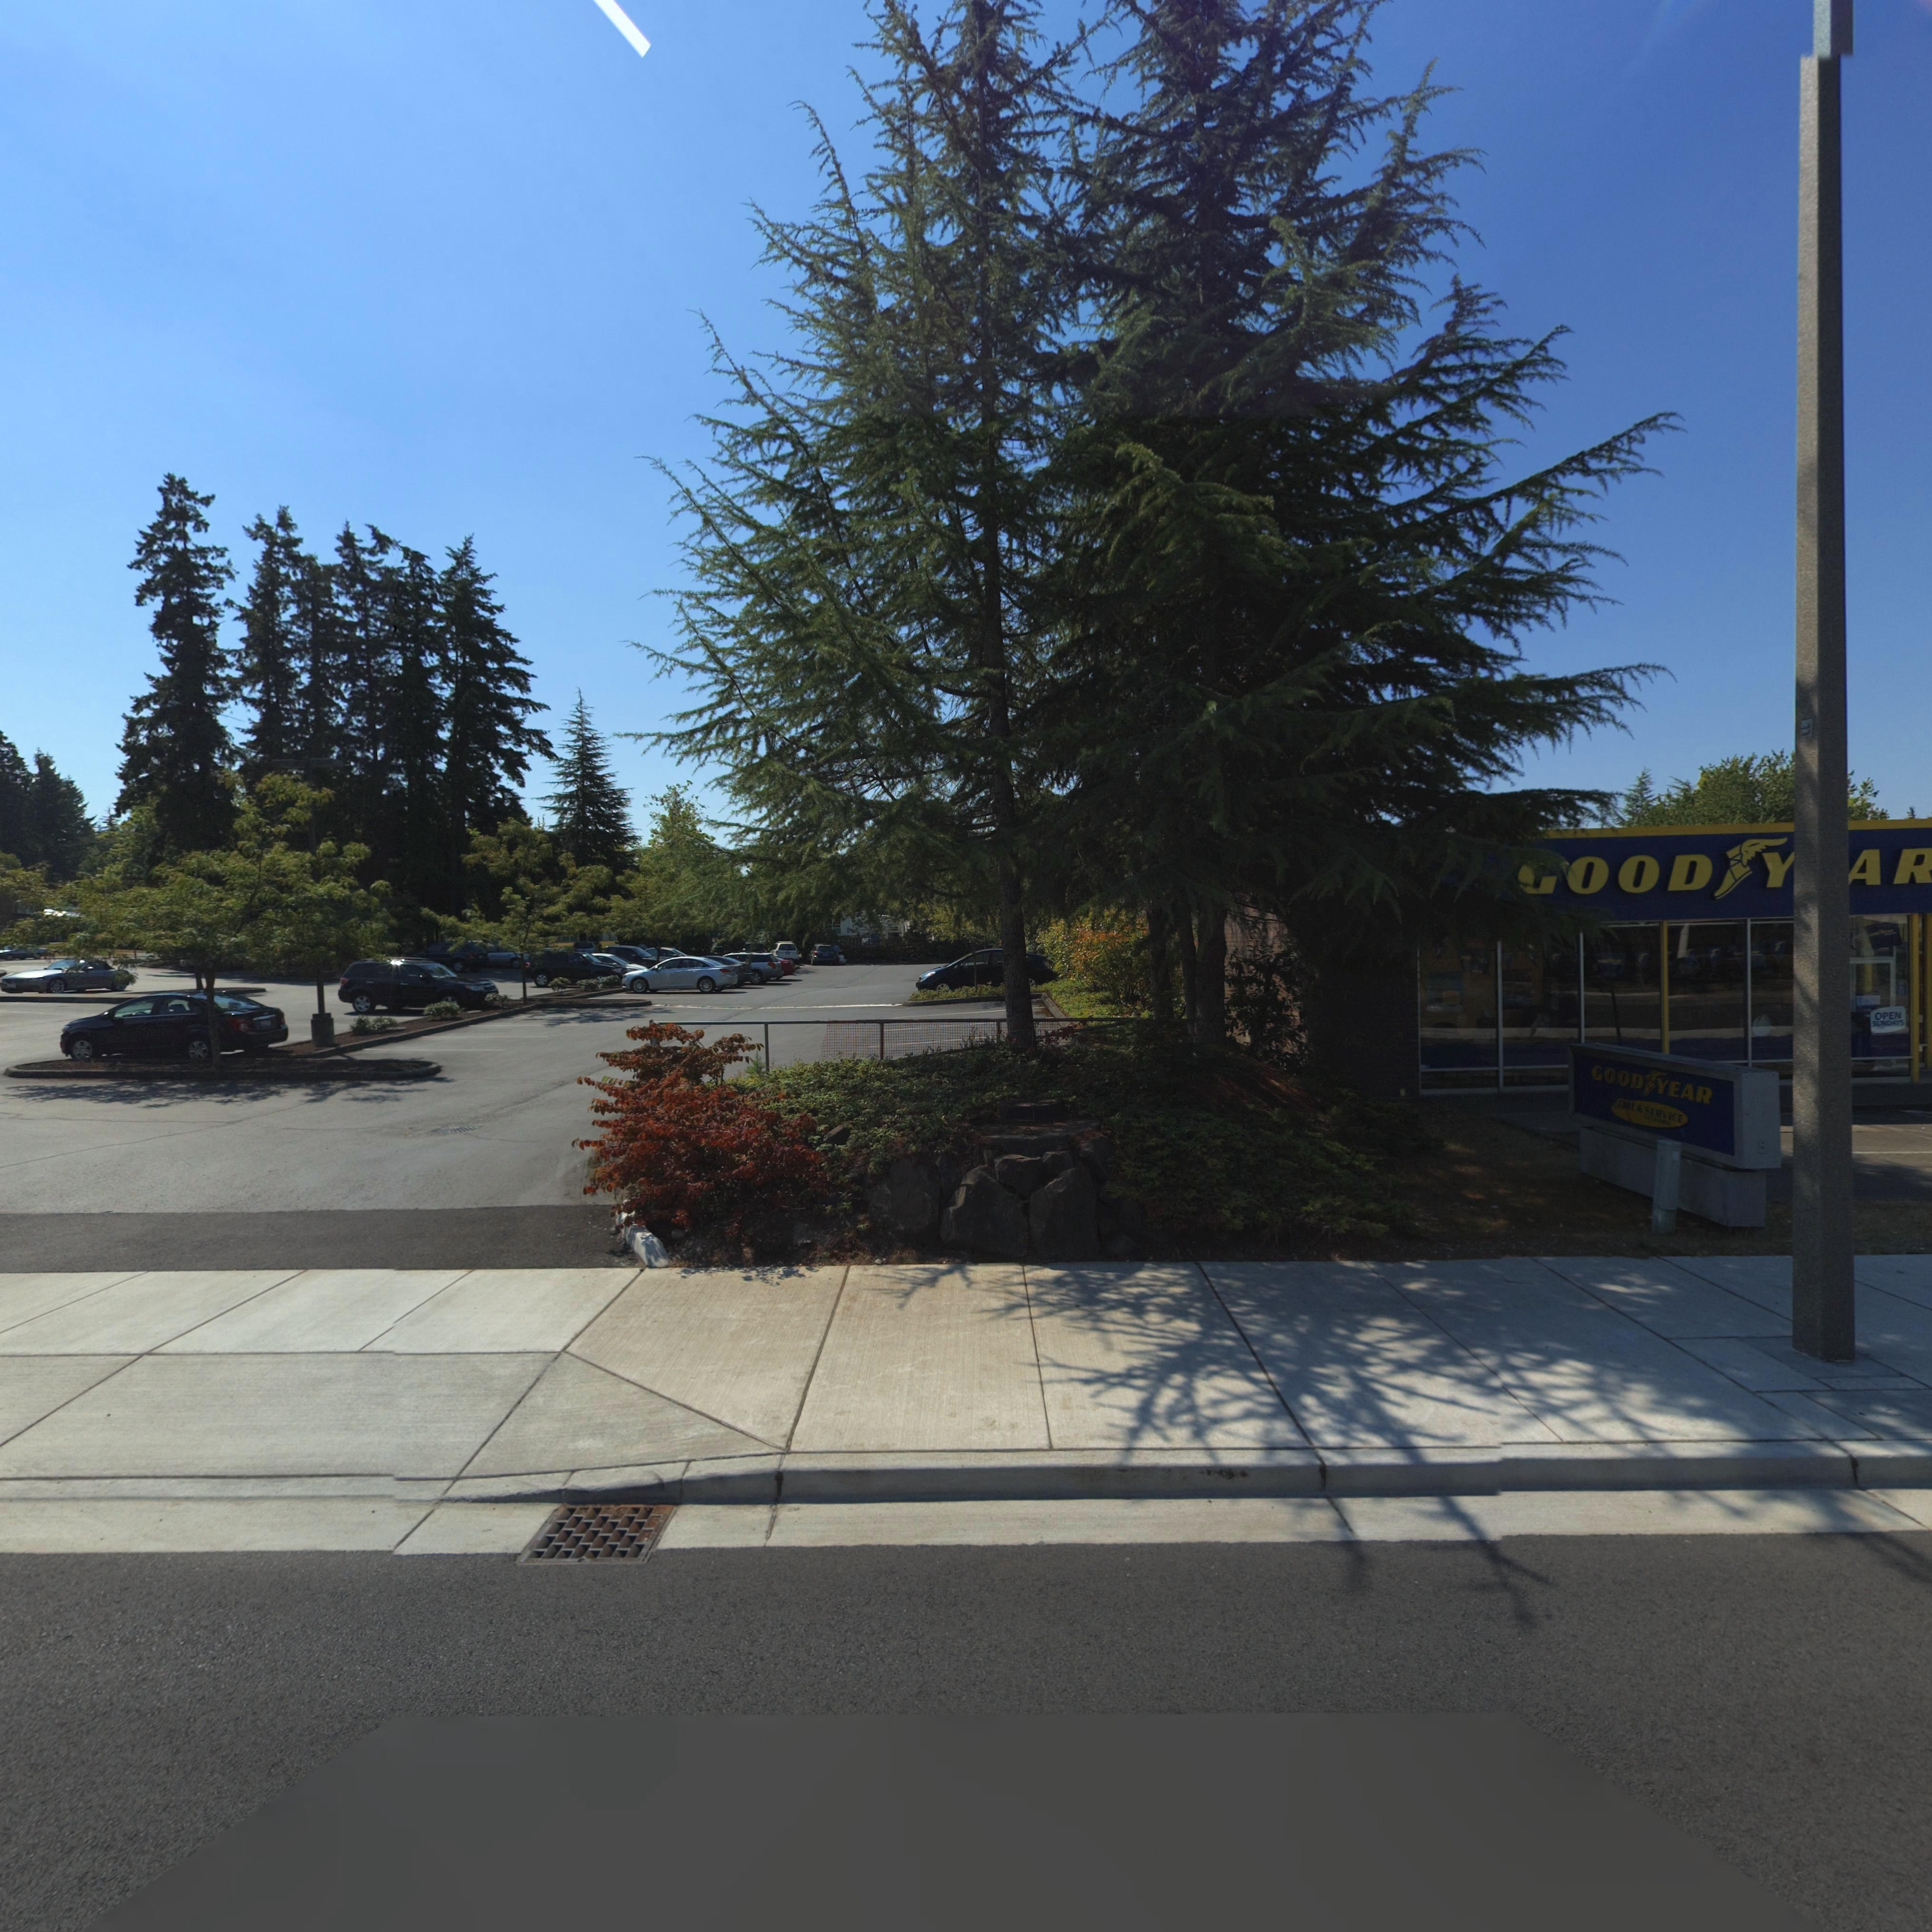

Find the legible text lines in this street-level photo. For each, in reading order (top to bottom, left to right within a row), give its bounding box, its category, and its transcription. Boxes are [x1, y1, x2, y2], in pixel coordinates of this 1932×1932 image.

[1564, 852, 1717, 895] BusinessName: OOD
[1591, 1064, 1713, 1104] BusinessName: GOOD YEAR